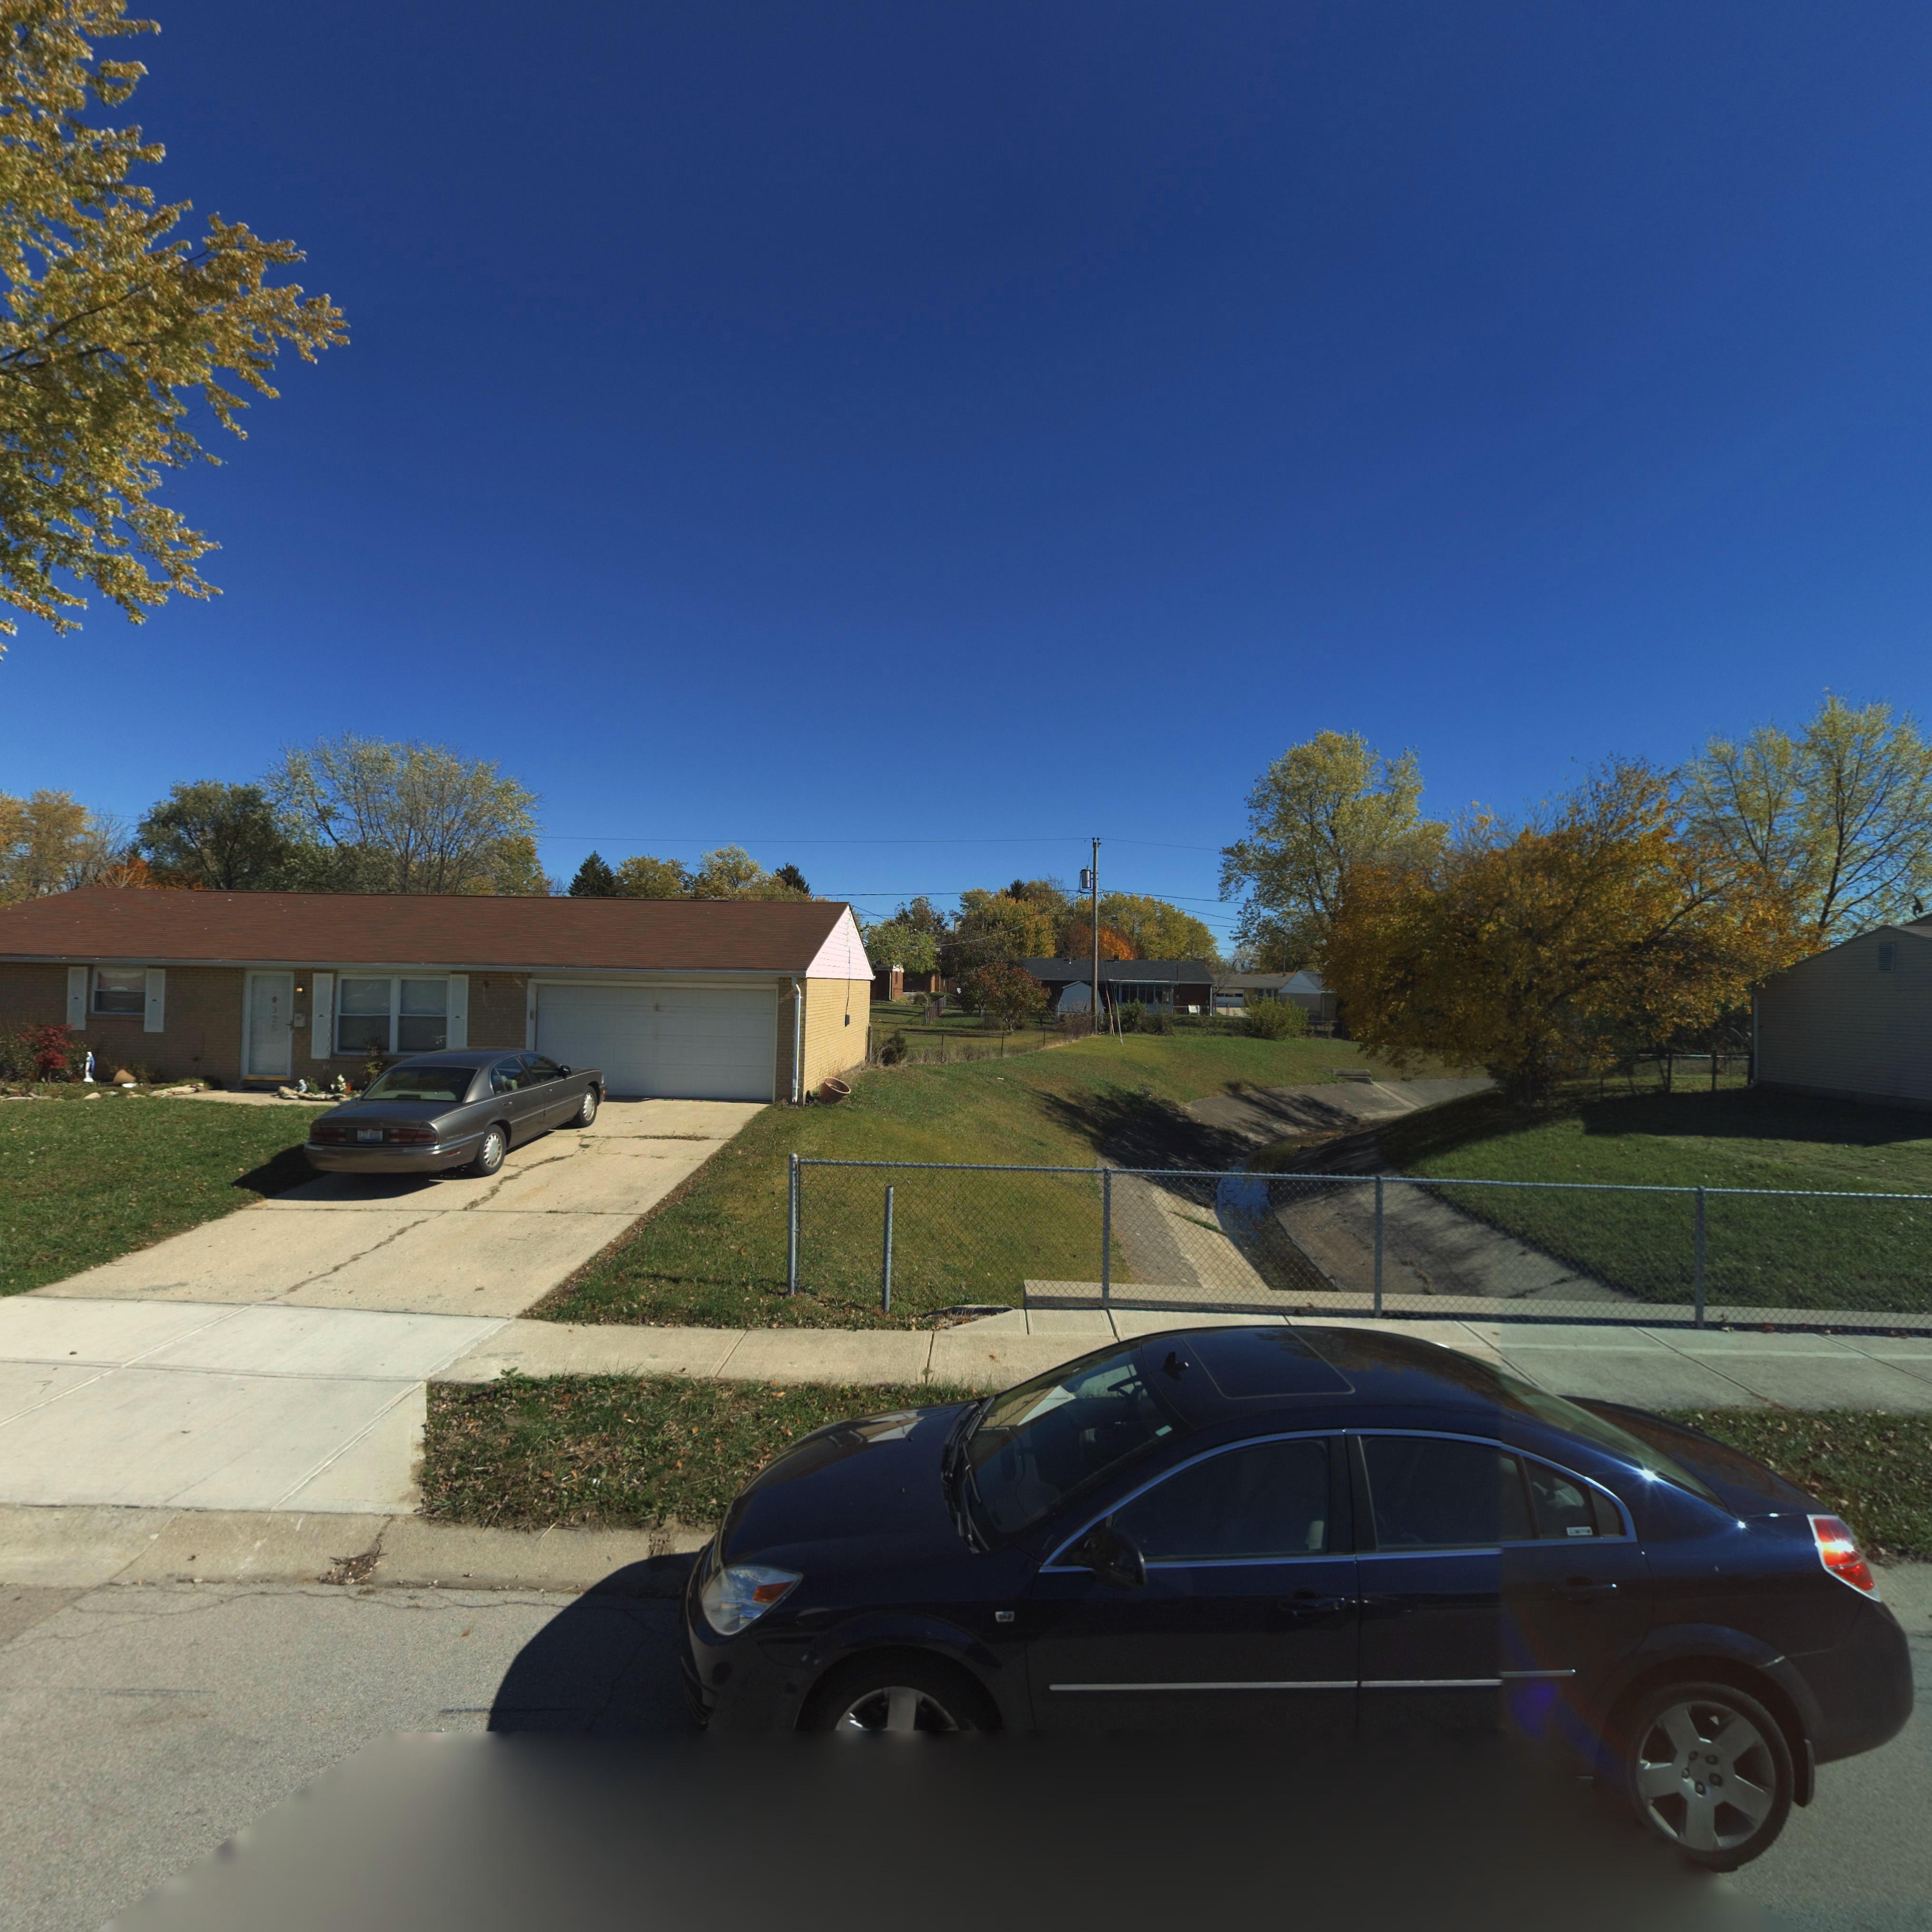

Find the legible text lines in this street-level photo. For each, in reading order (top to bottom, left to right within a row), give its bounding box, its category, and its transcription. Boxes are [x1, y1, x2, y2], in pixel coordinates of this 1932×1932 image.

[270, 1005, 278, 1033] StreetNumber: 32*